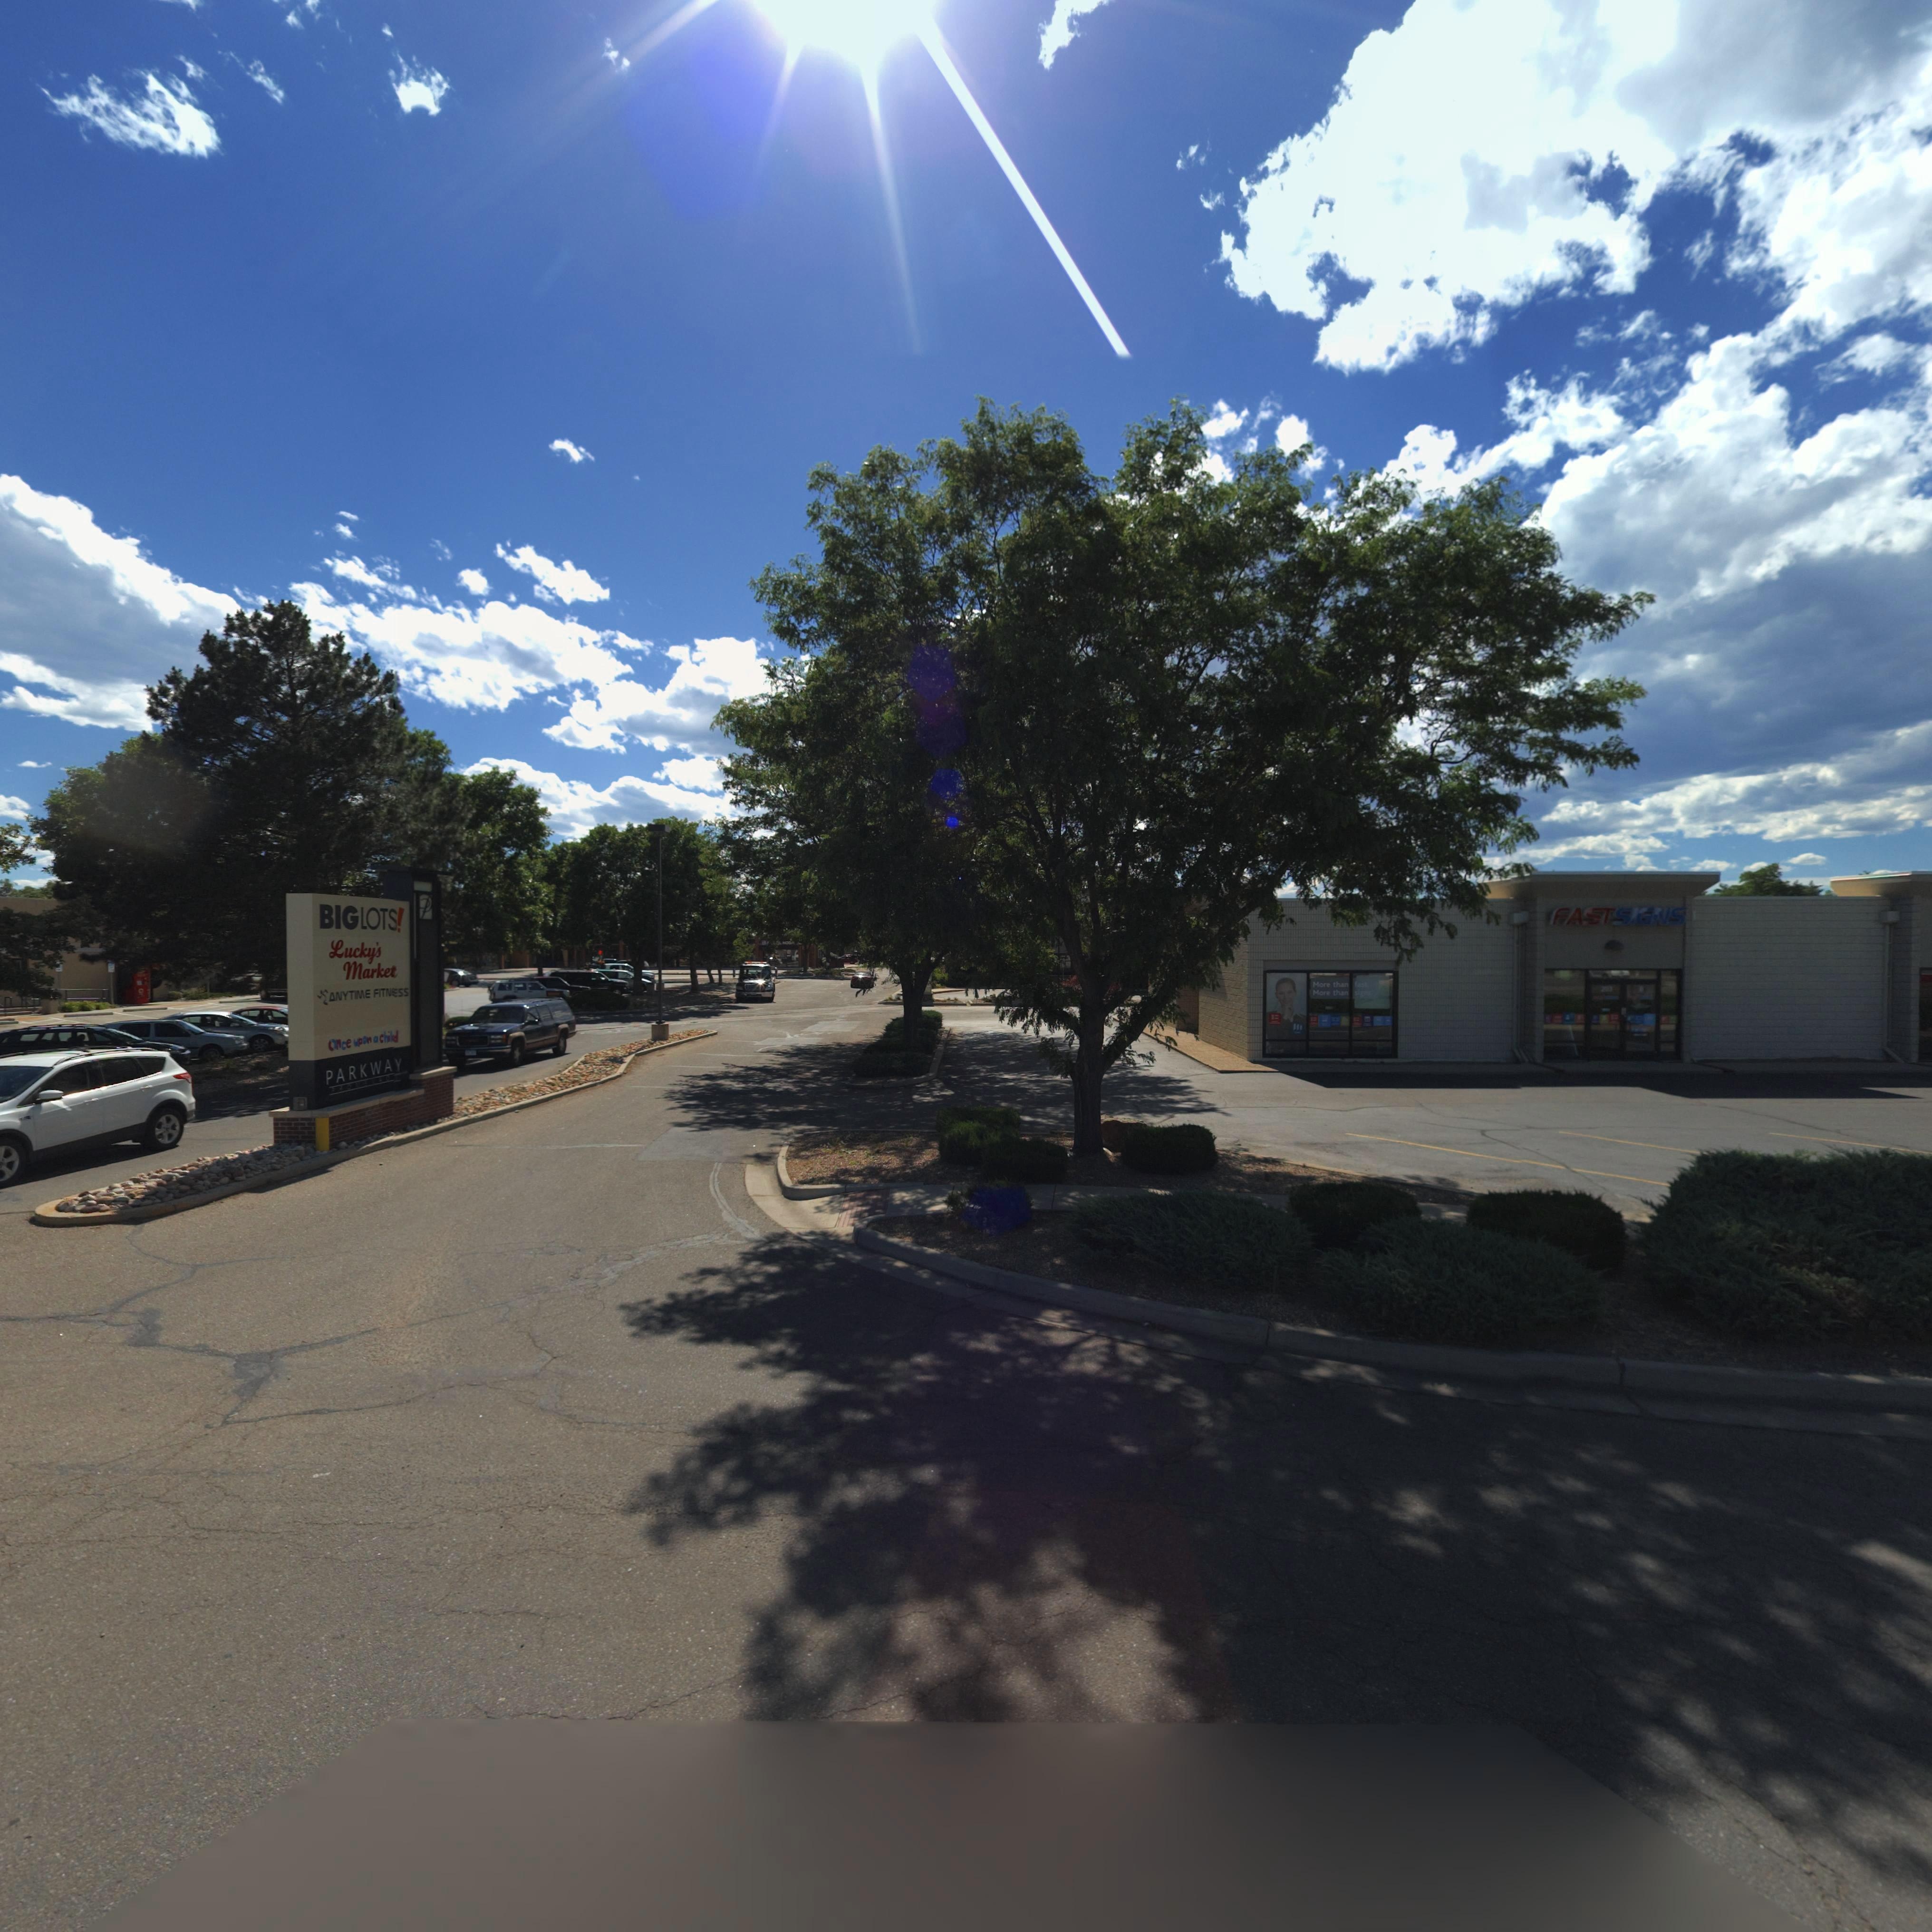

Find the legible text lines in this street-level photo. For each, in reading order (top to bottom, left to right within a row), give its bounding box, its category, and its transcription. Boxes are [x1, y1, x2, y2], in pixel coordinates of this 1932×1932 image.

[318, 903, 398, 932] BusinessName: BIGLOTS
[1550, 906, 1688, 927] BusinessName: FASTSIGNS
[328, 938, 383, 966] BusinessName: Lucky's
[782, 940, 795, 946] BusinessName: HOO*
[342, 960, 399, 980] BusinessName: Market
[327, 987, 409, 1002] BusinessName: *NYTIME FITNESS
[1600, 985, 1614, 993] StreetNumber: 203
[327, 1029, 399, 1053] BusinessName: Once upon a child